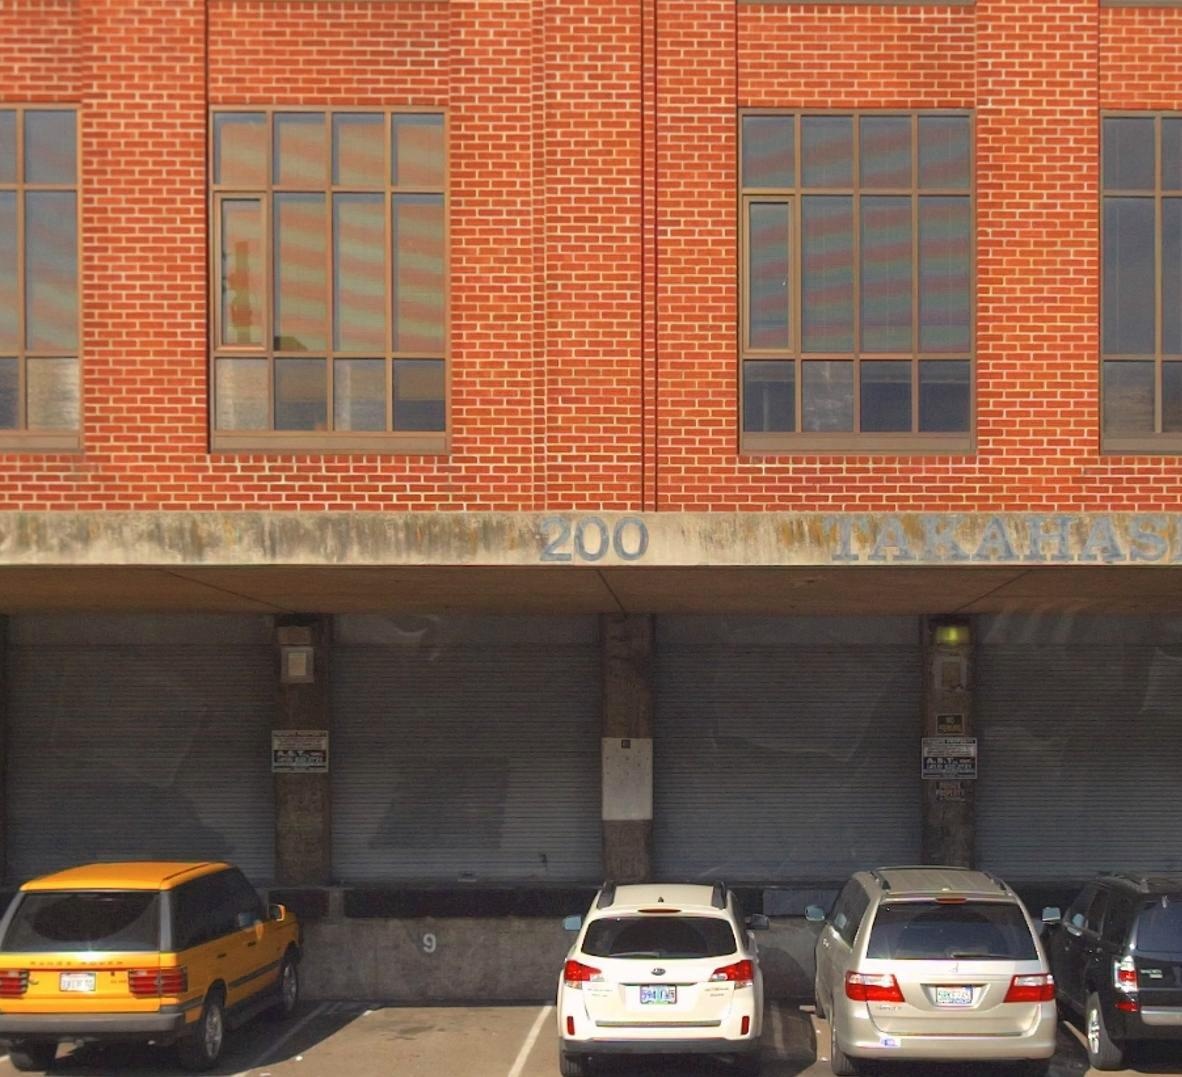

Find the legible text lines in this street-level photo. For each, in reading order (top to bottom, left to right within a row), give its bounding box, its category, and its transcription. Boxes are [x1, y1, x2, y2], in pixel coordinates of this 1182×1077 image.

[538, 515, 650, 562] StreetNumber: 200
[821, 514, 1170, 564] None: TAKAHAS
[640, 989, 656, 1000] None: 594